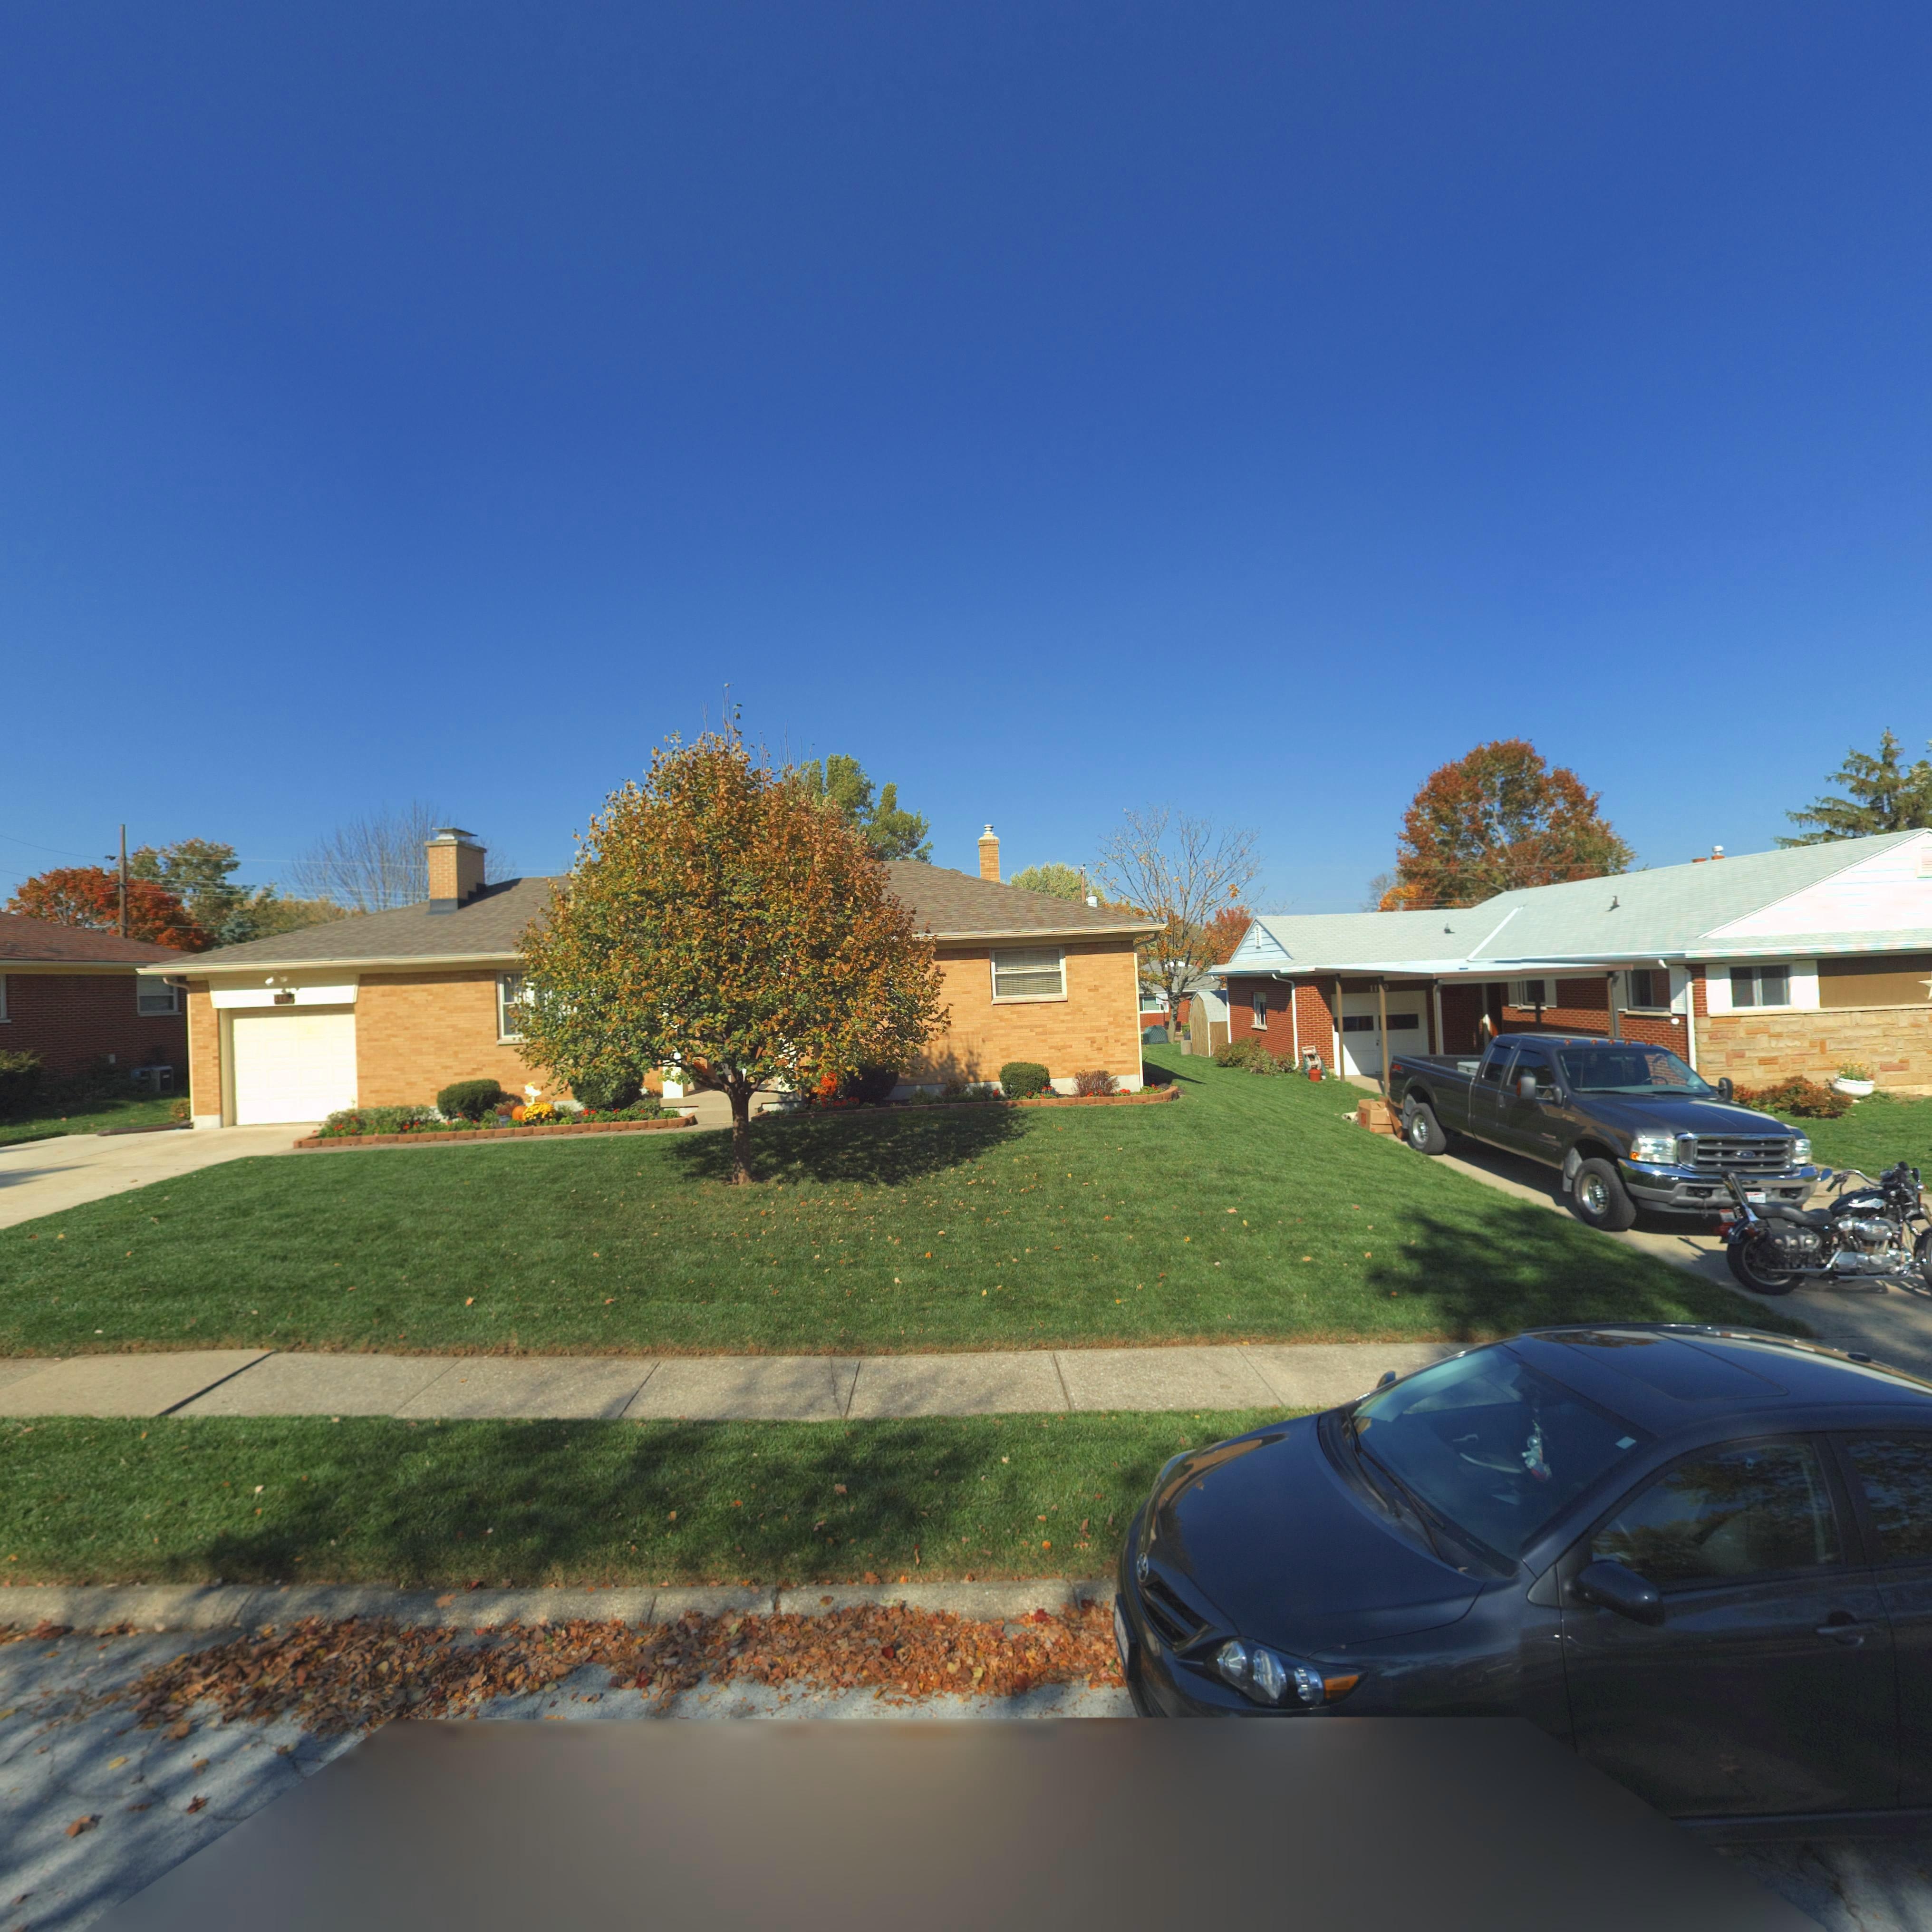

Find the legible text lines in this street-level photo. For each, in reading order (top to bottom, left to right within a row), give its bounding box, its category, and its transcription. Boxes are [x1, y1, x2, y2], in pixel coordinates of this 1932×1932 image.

[1369, 984, 1389, 993] StreetNumber: 11*9
[274, 995, 294, 1005] StreetNumber: 1***